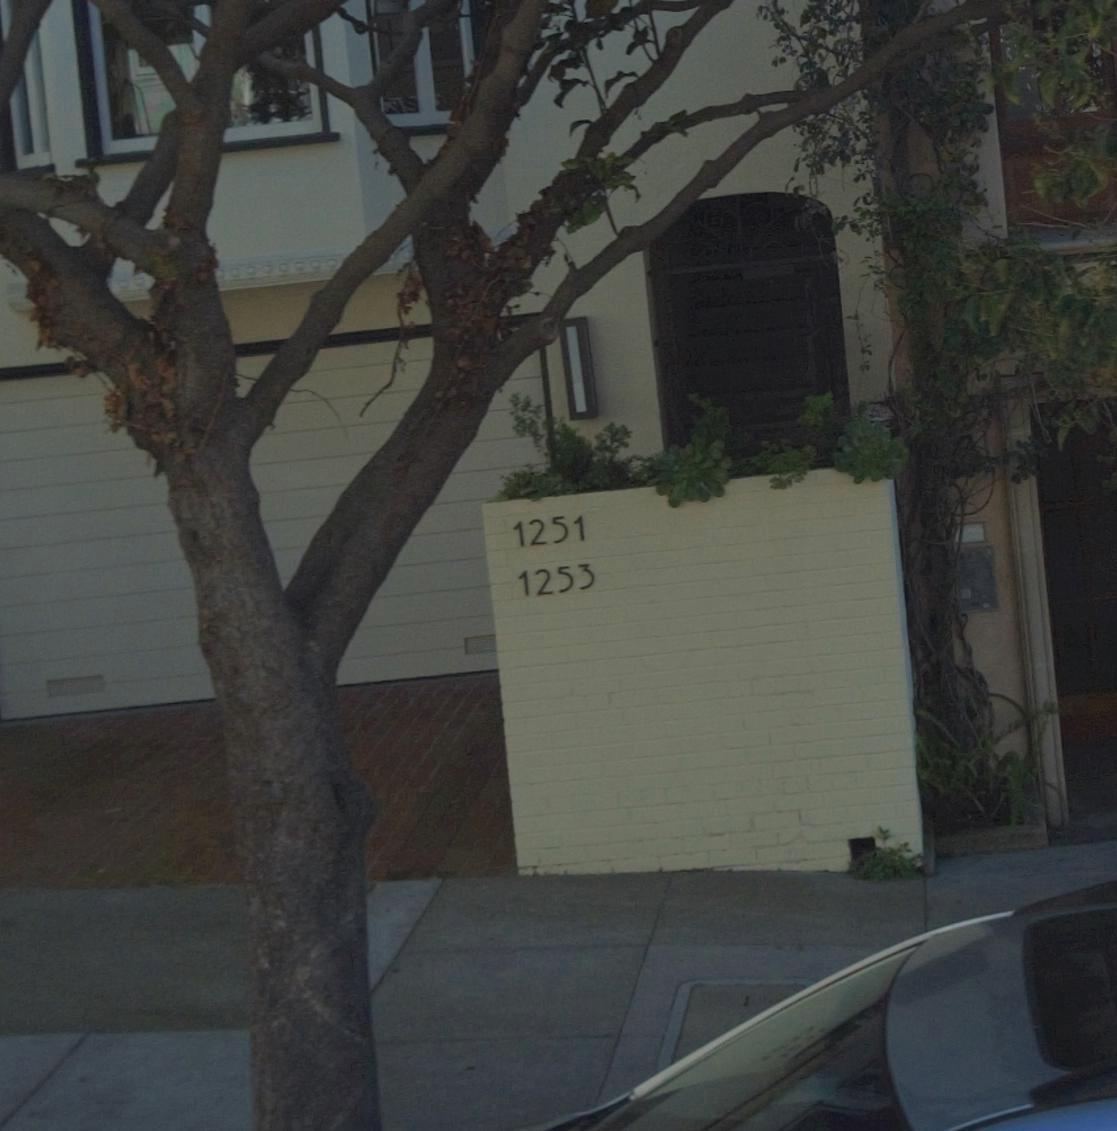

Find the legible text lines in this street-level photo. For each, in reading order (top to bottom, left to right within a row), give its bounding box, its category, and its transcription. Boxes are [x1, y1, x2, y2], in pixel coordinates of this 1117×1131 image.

[510, 511, 589, 550] StreetNumber: 1251
[515, 560, 600, 601] StreetNumber: 1253